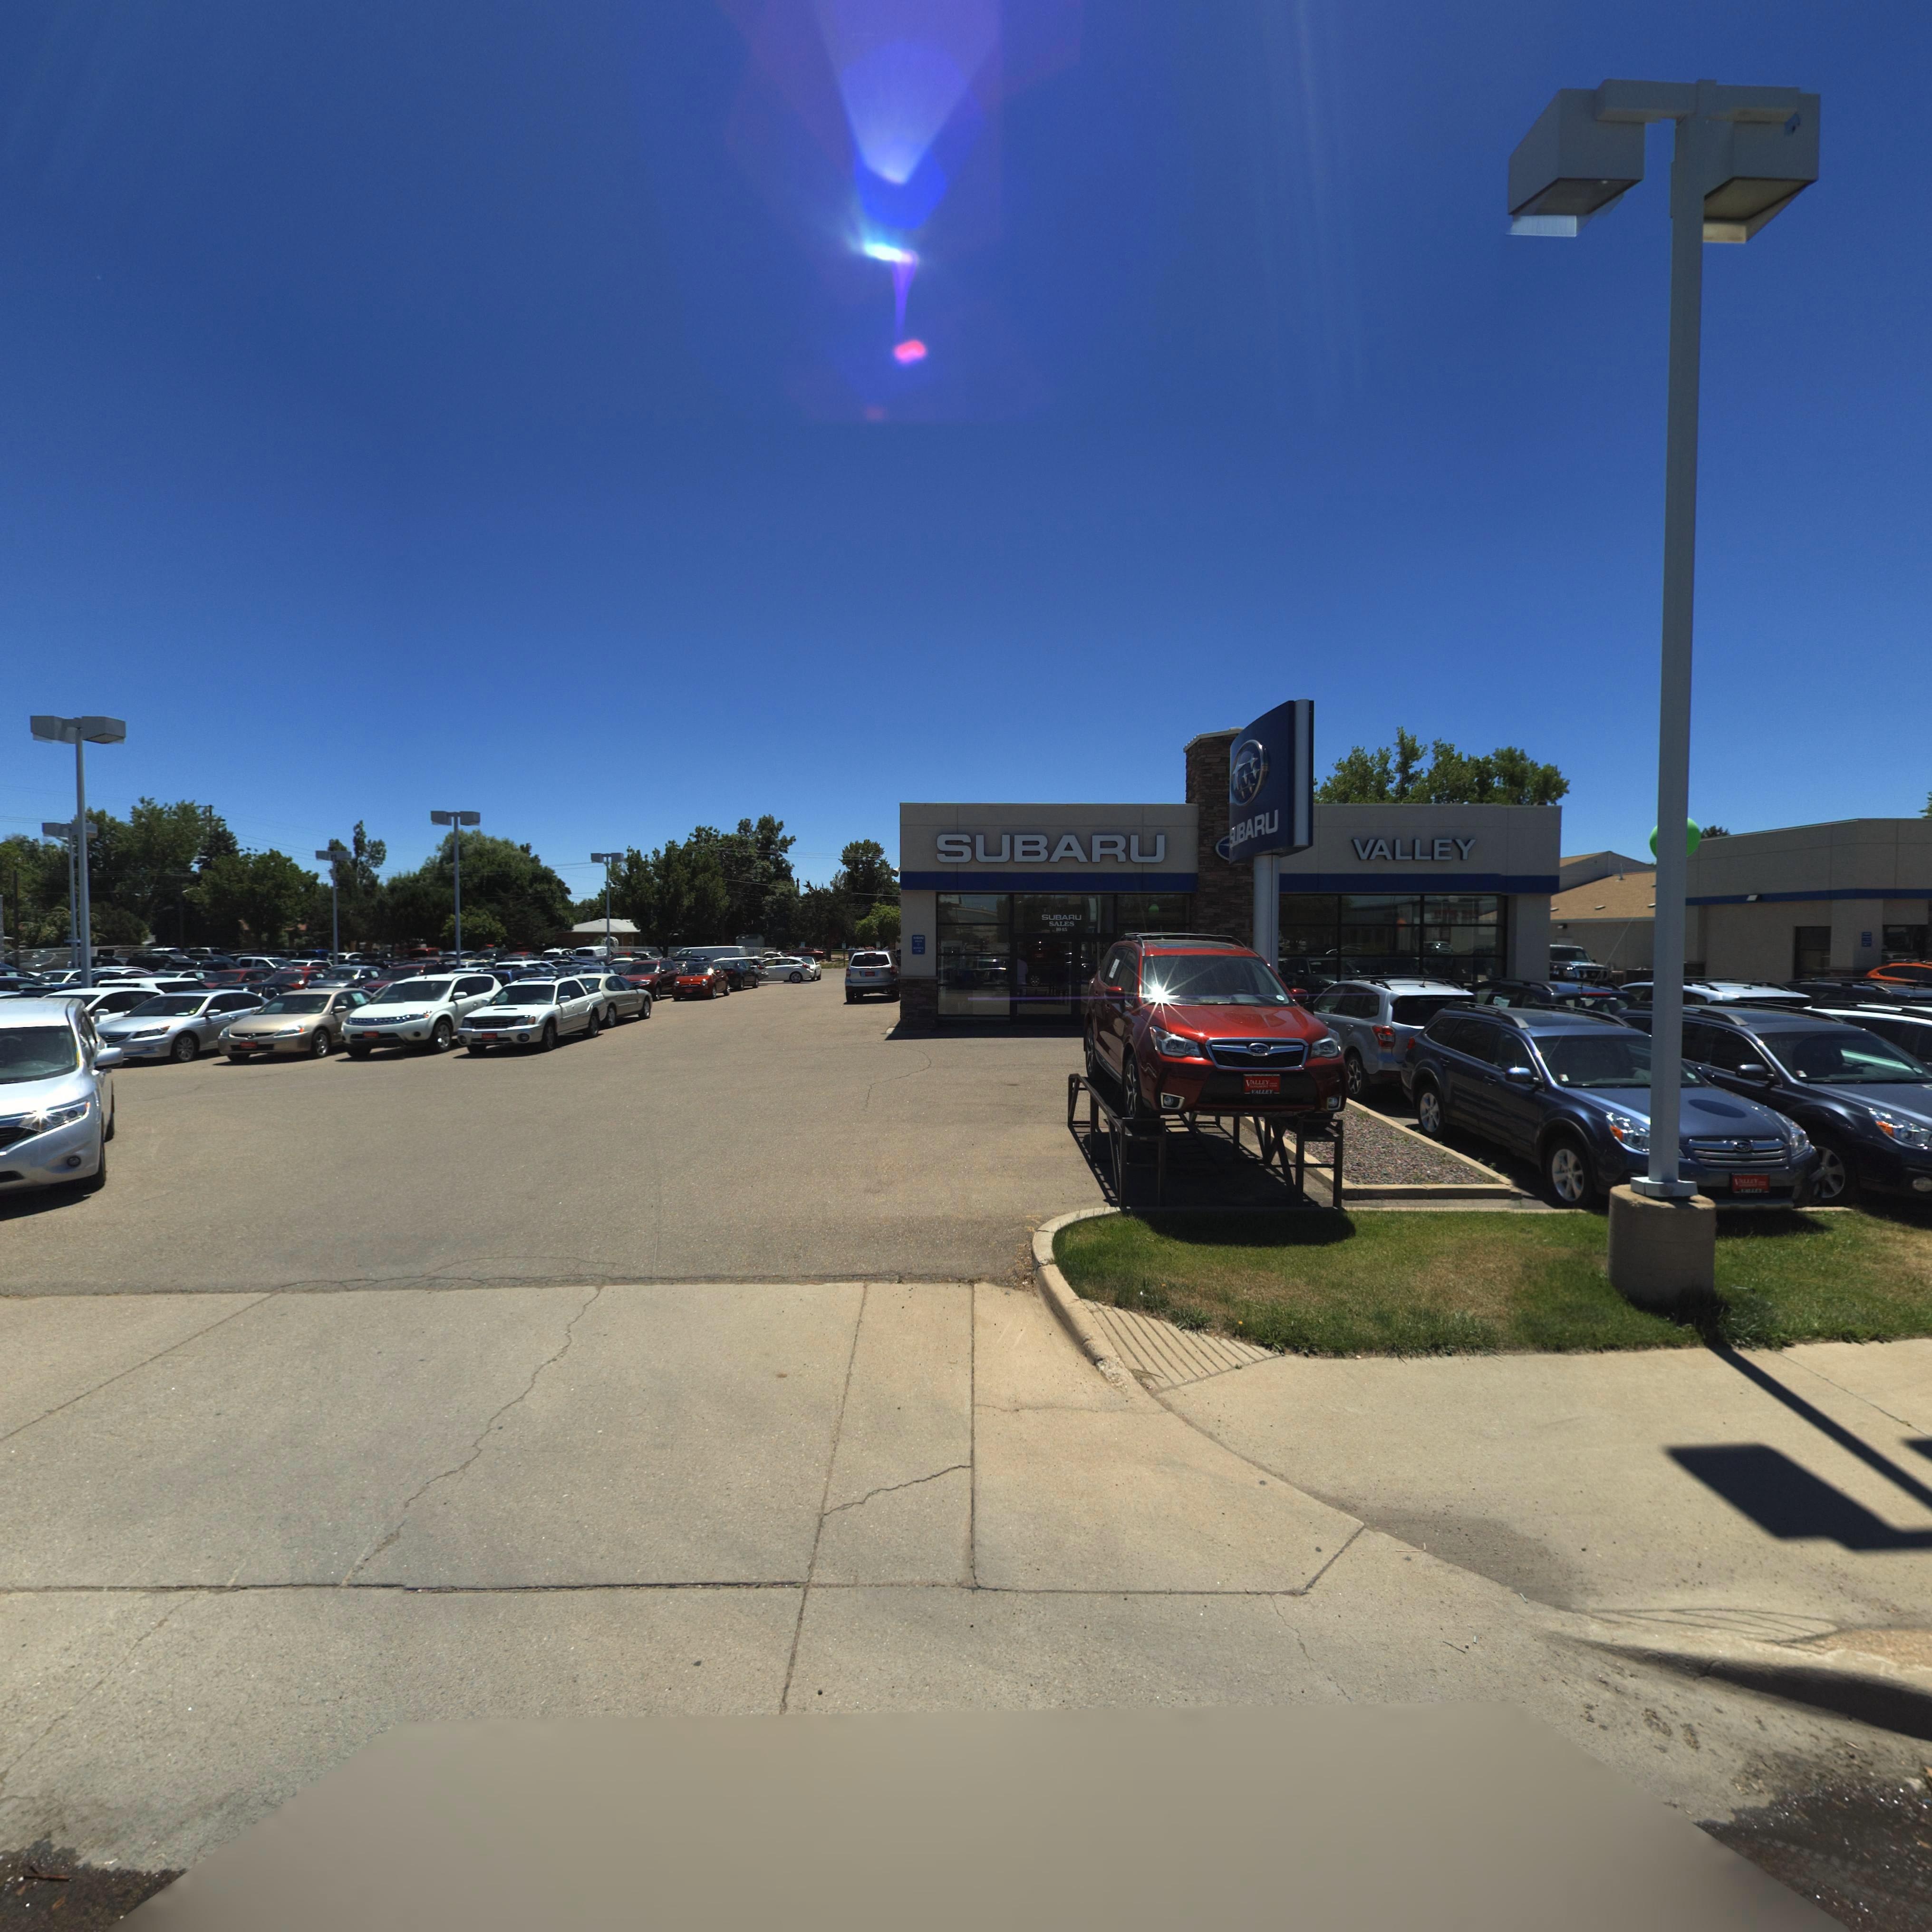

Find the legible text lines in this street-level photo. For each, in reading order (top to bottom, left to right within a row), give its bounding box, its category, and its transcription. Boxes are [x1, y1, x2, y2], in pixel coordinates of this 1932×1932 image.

[1229, 808, 1279, 849] BusinessName: SUBARU
[935, 833, 1166, 864] BusinessName: SUBARU
[1351, 838, 1478, 860] BusinessName: VALLEY
[1041, 914, 1082, 920] BusinessName: SUBARU
[1048, 921, 1074, 927] BusinessName: SALES
[1056, 927, 1068, 931] StreetNumber: 1045